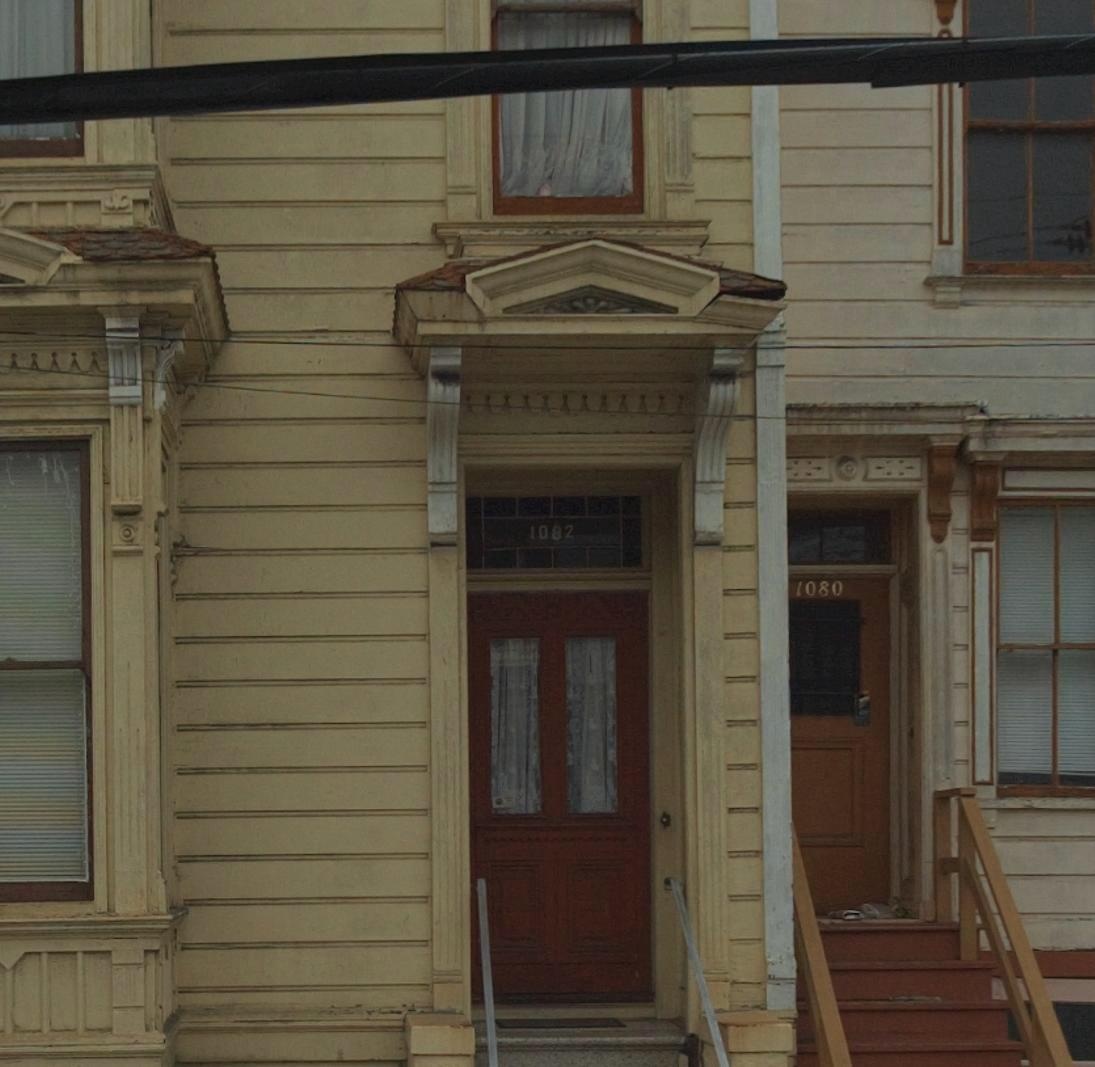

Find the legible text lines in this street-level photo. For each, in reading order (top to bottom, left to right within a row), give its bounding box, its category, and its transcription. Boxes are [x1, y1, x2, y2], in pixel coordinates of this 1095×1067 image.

[528, 523, 577, 542] StreetNumber: 1082
[795, 579, 844, 599] StreetNumber: 1080